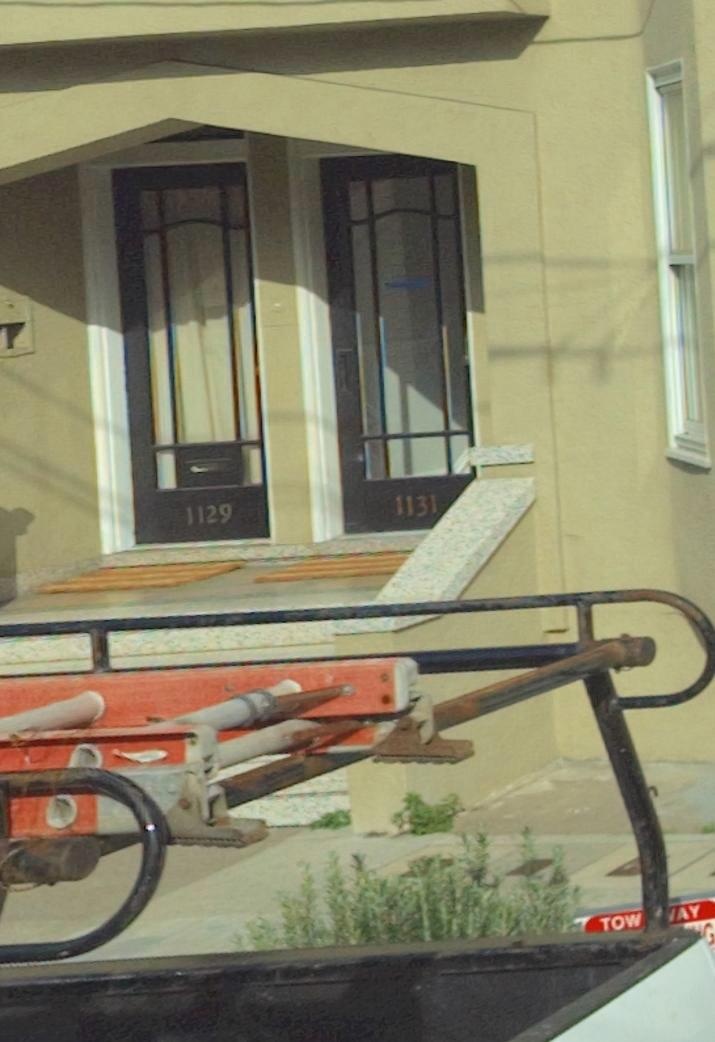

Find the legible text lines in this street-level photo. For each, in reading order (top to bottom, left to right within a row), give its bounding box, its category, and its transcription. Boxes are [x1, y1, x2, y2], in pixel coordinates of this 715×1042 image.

[184, 503, 234, 526] StreetNumber: 1129
[394, 494, 439, 518] StreetNumber: 1131
[598, 902, 703, 933] None: TOW*AY